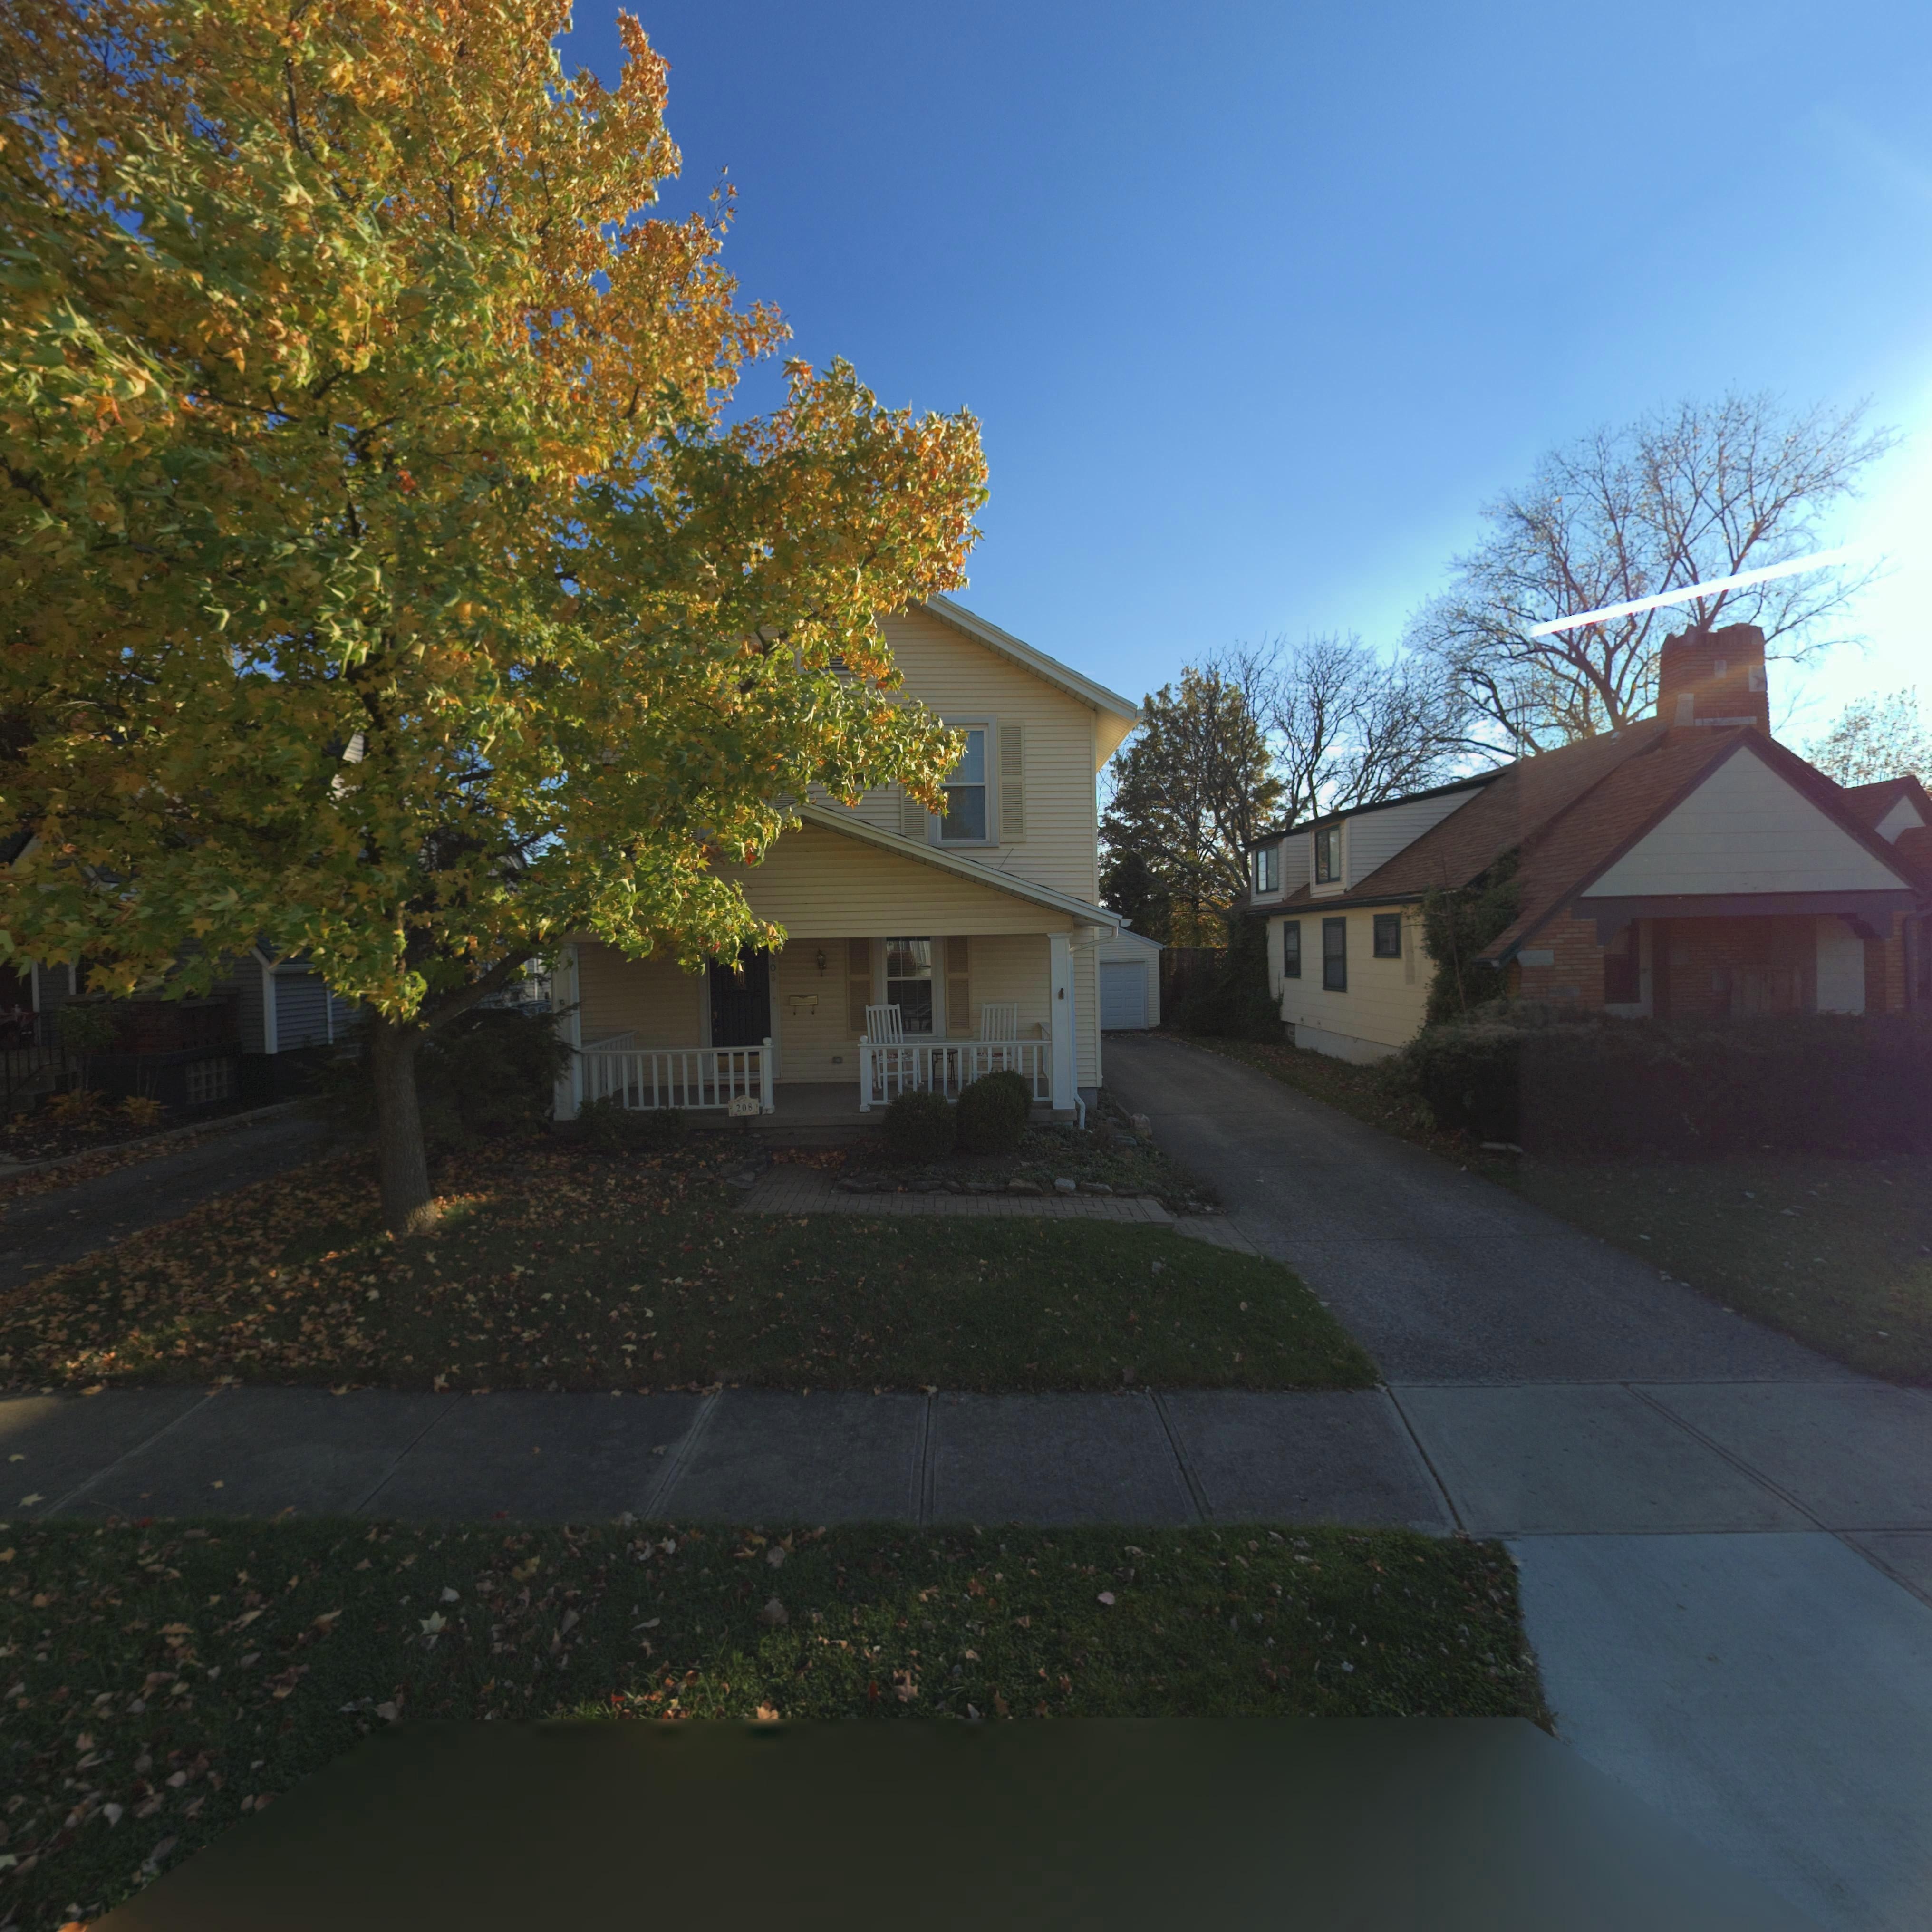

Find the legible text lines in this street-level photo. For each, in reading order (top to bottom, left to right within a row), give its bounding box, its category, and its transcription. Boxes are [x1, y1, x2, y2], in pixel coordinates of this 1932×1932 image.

[768, 952, 778, 983] StreetNumber: 20*